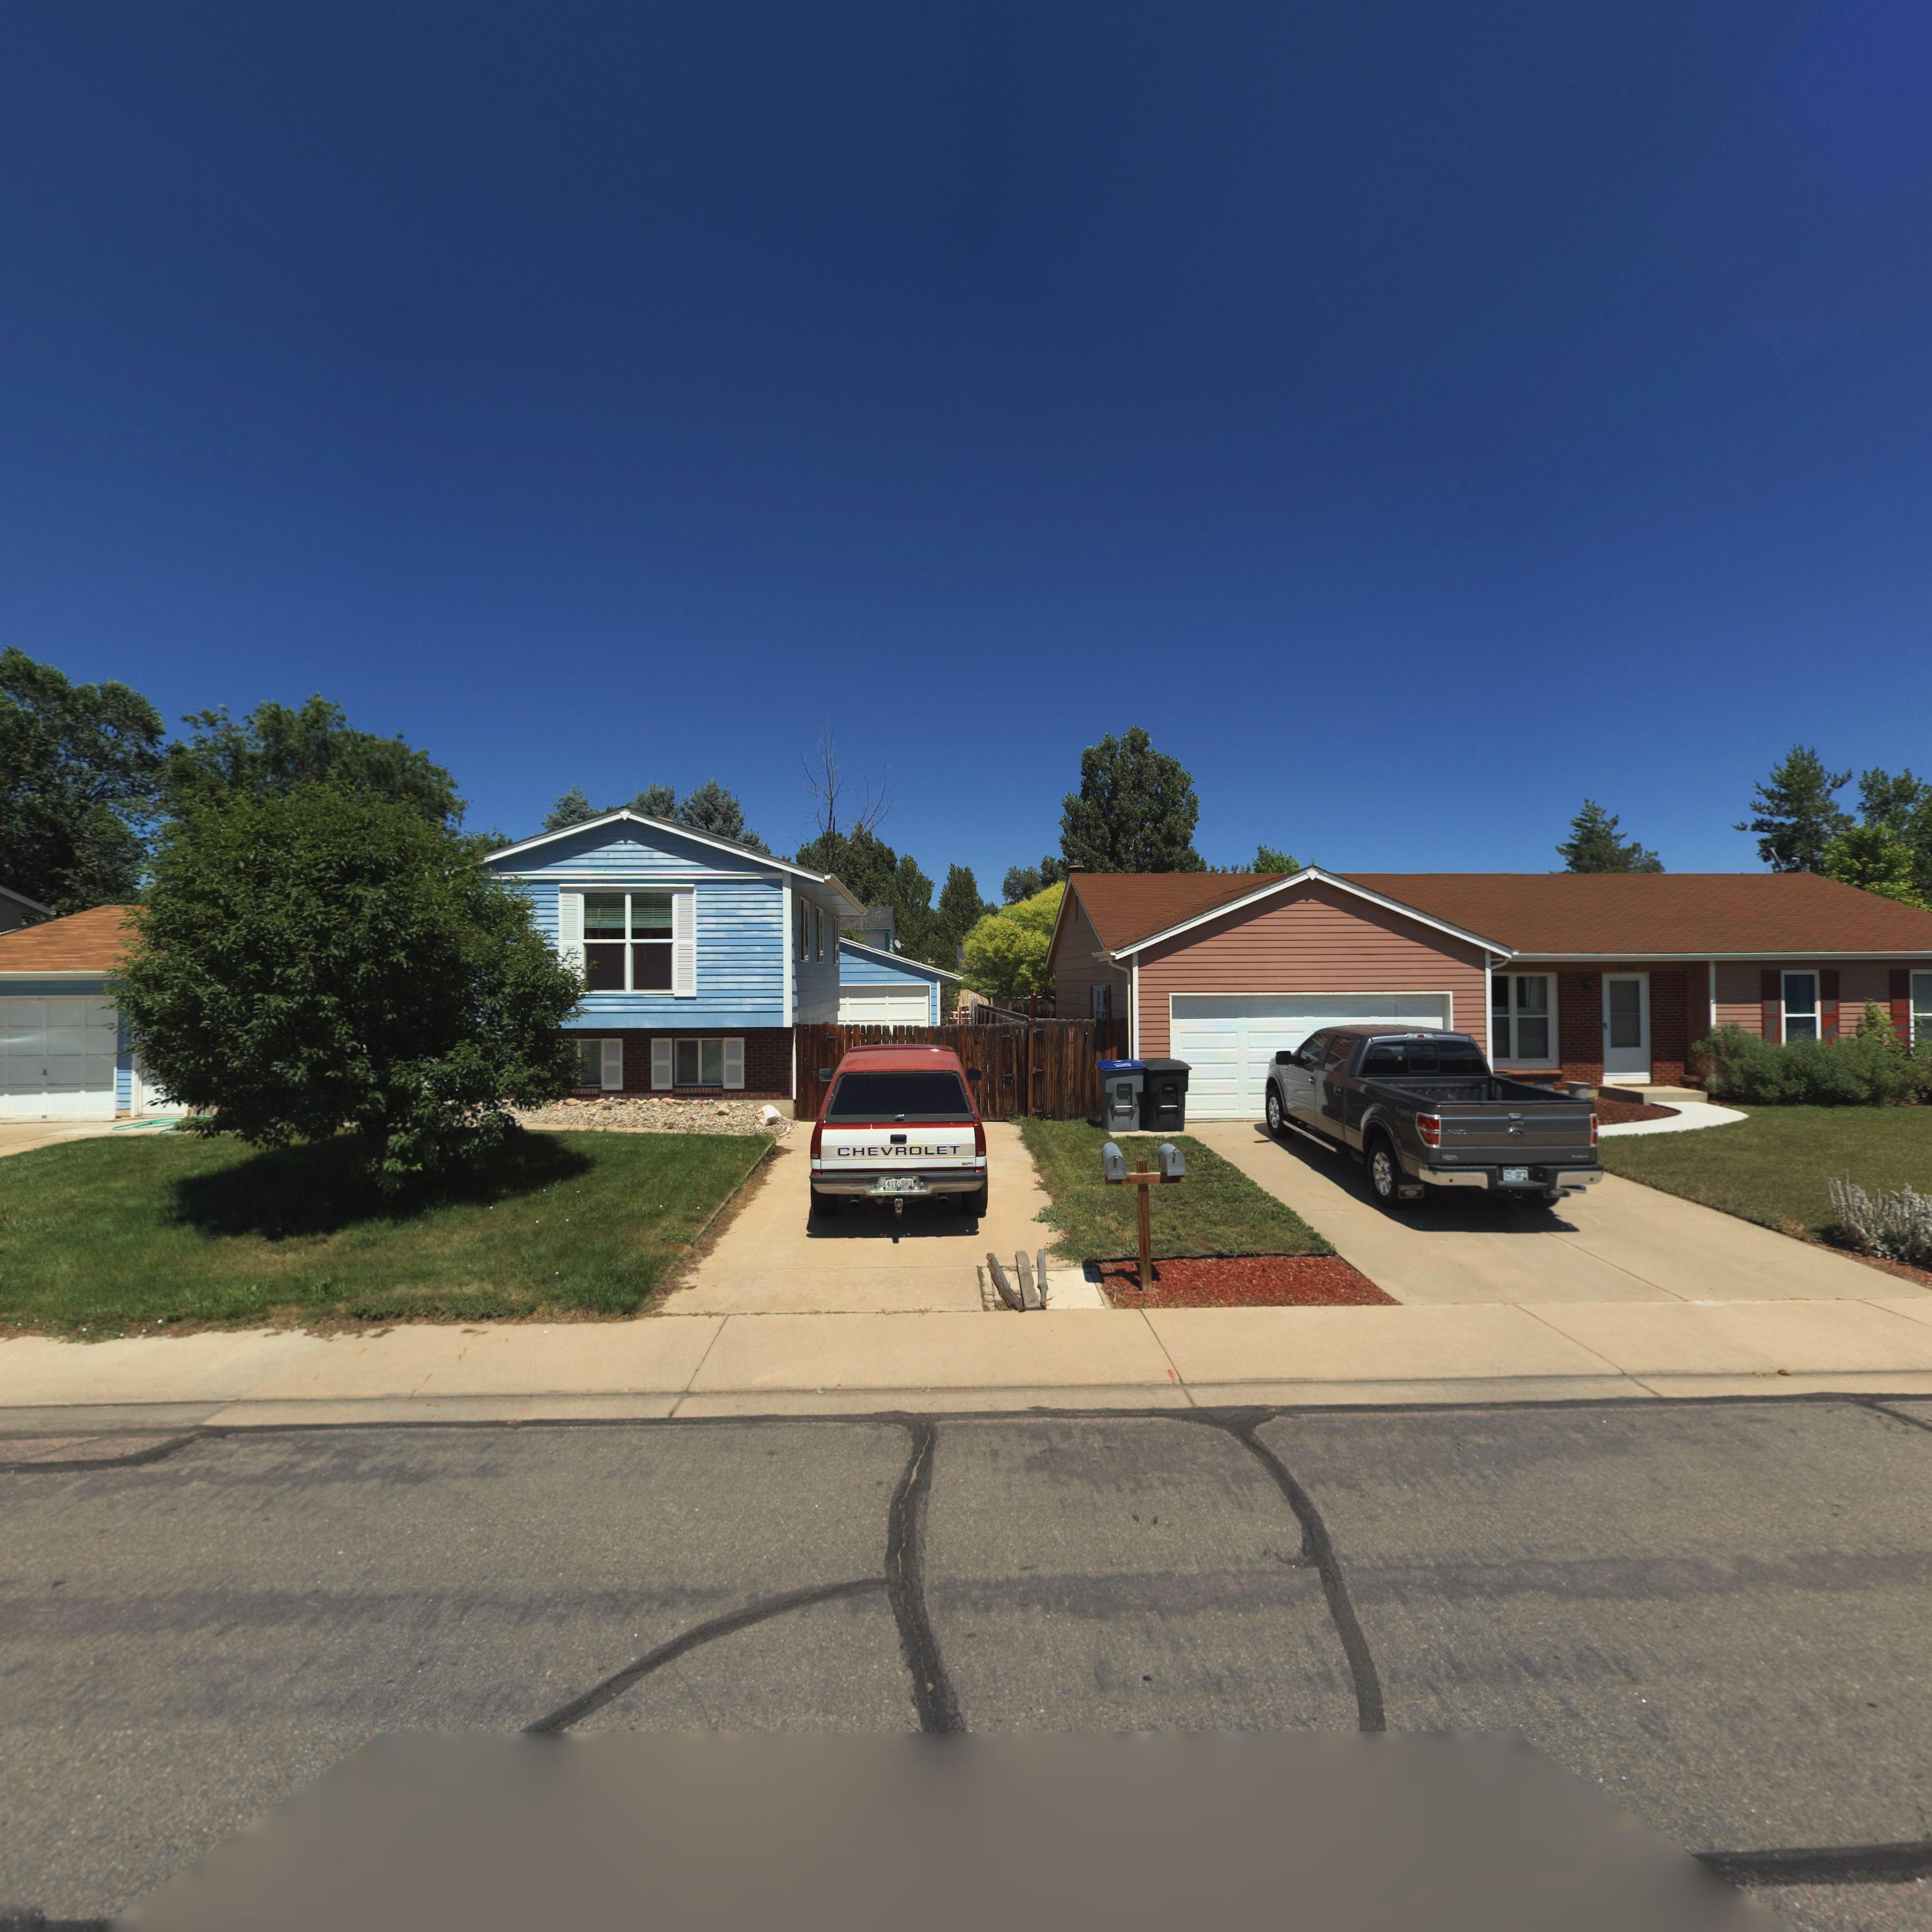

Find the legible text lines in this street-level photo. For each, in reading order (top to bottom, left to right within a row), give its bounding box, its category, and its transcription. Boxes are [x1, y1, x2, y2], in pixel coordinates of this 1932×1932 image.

[1616, 963, 1637, 972] StreetNumber: 21*2